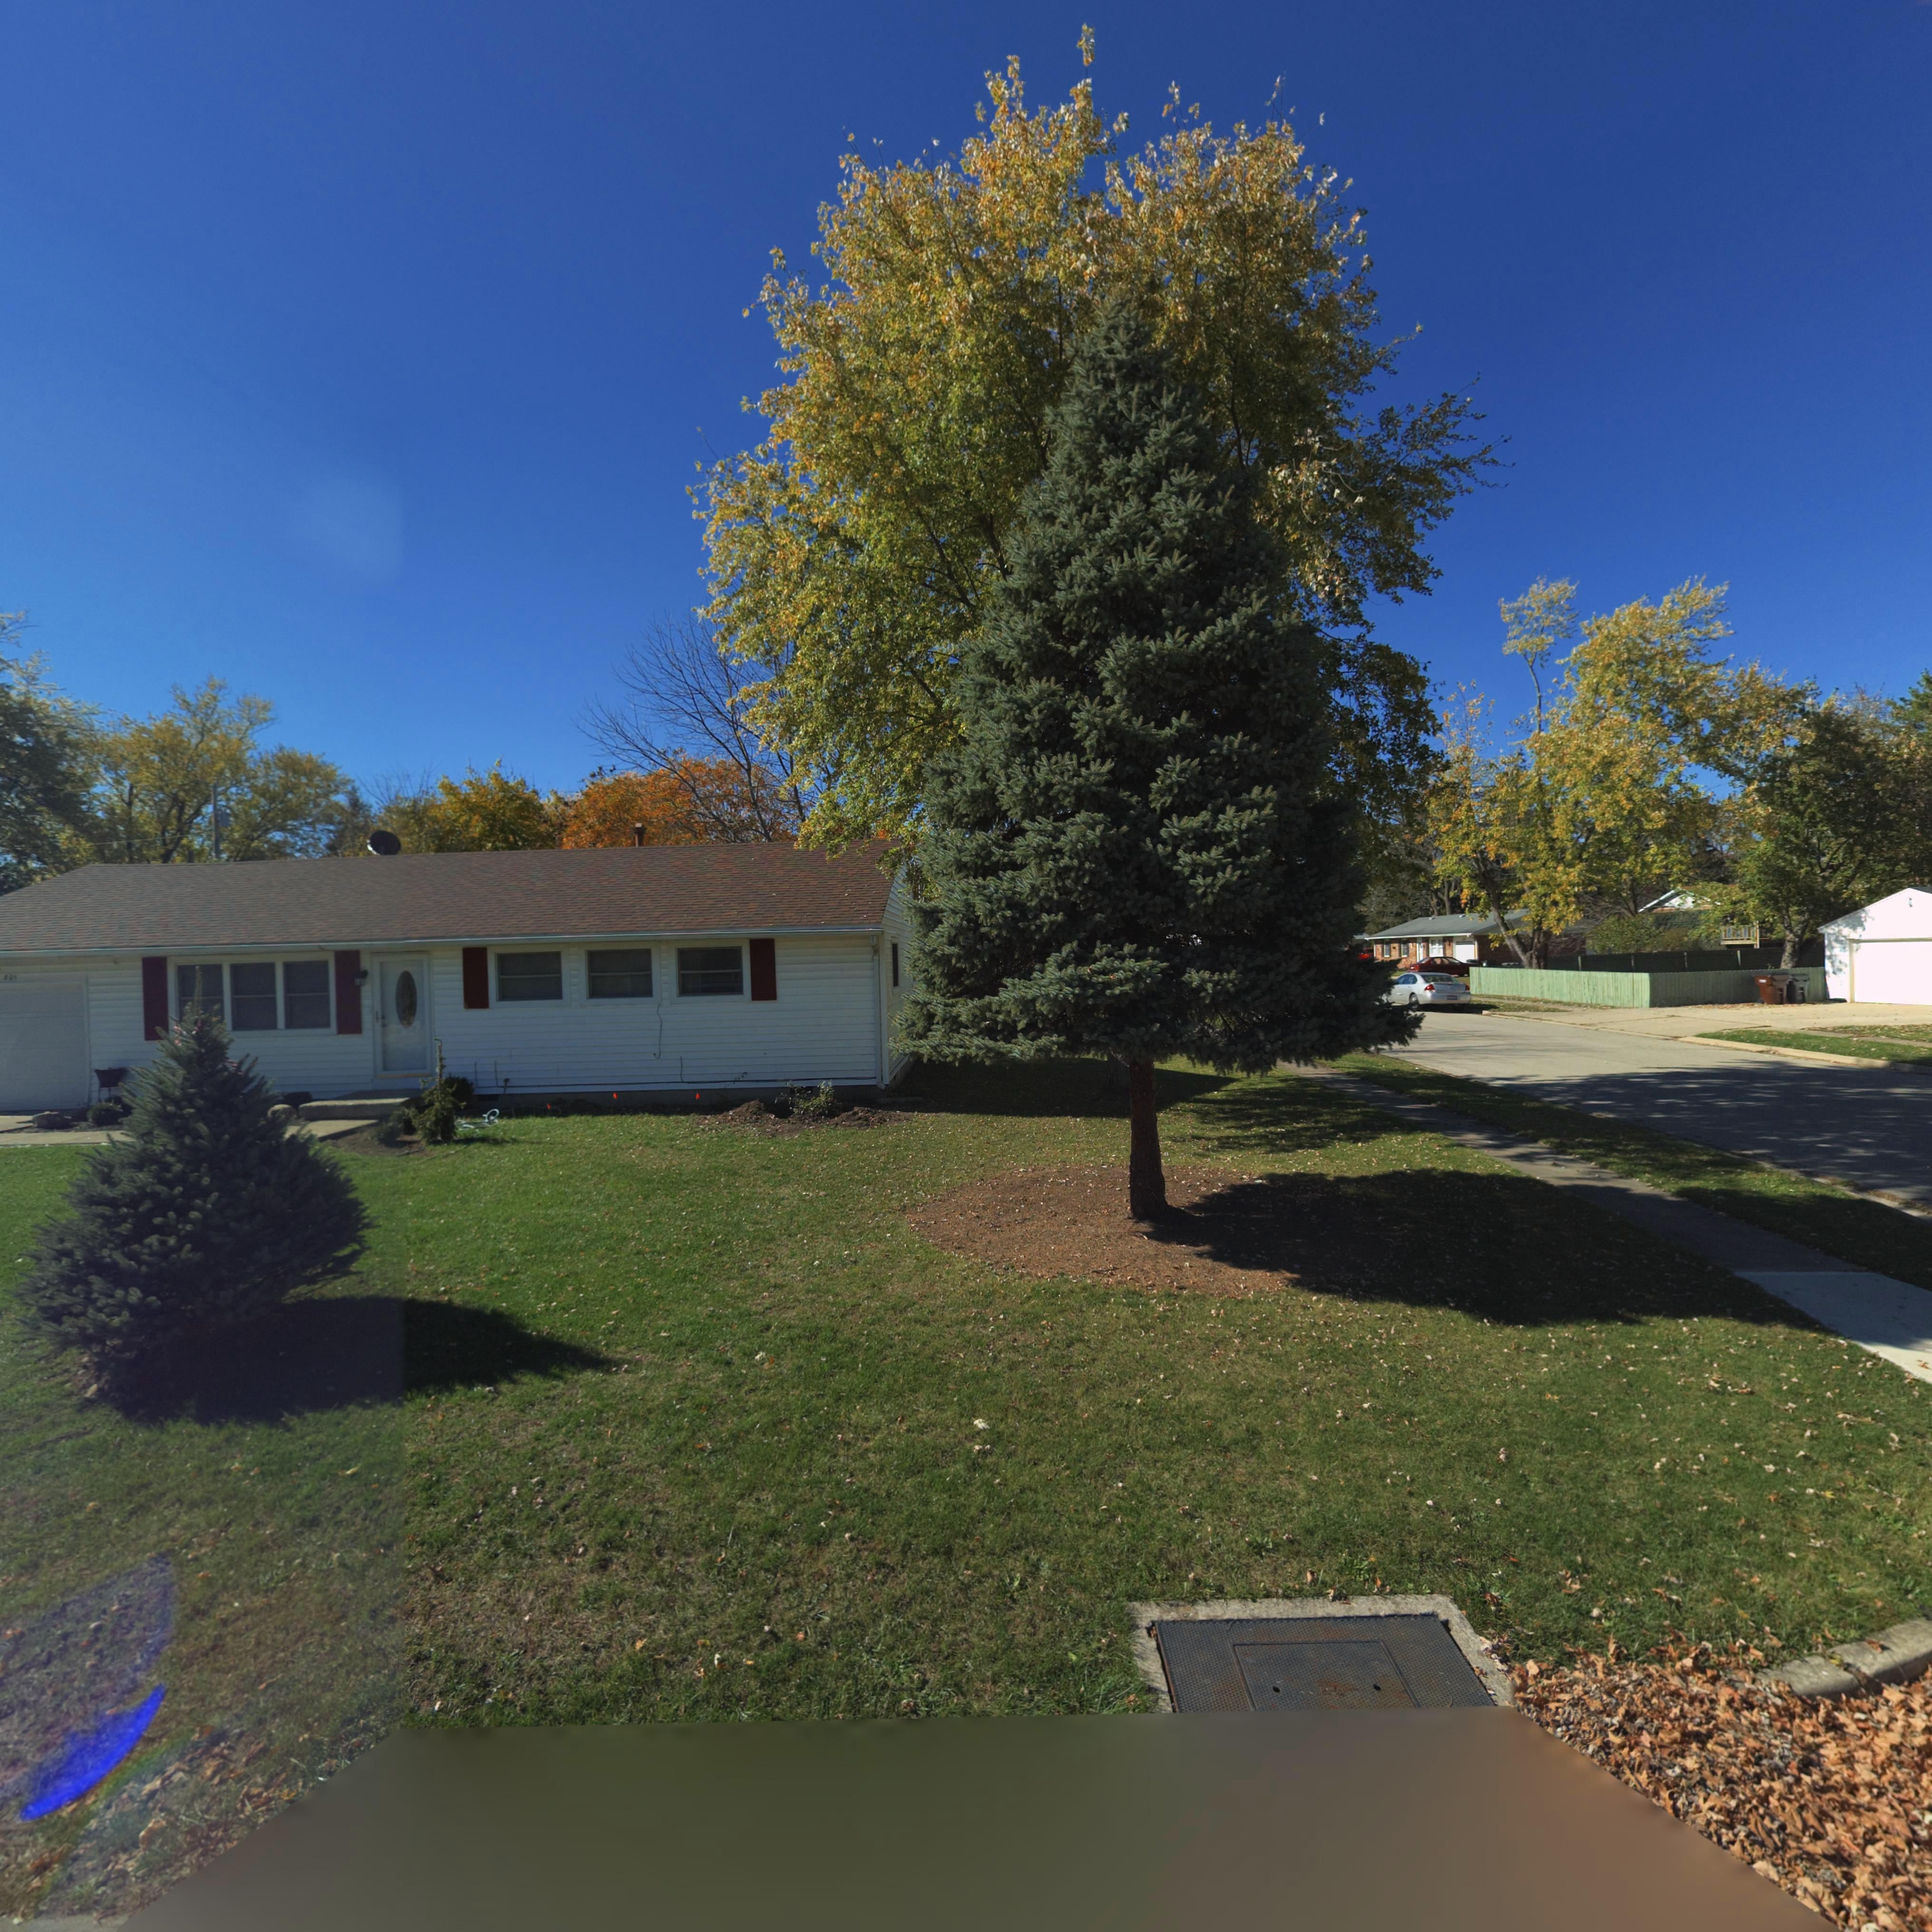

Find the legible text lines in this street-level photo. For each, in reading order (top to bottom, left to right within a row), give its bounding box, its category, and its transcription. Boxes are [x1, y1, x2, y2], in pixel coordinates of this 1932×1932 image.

[2, 974, 18, 982] StreetNumber: **1